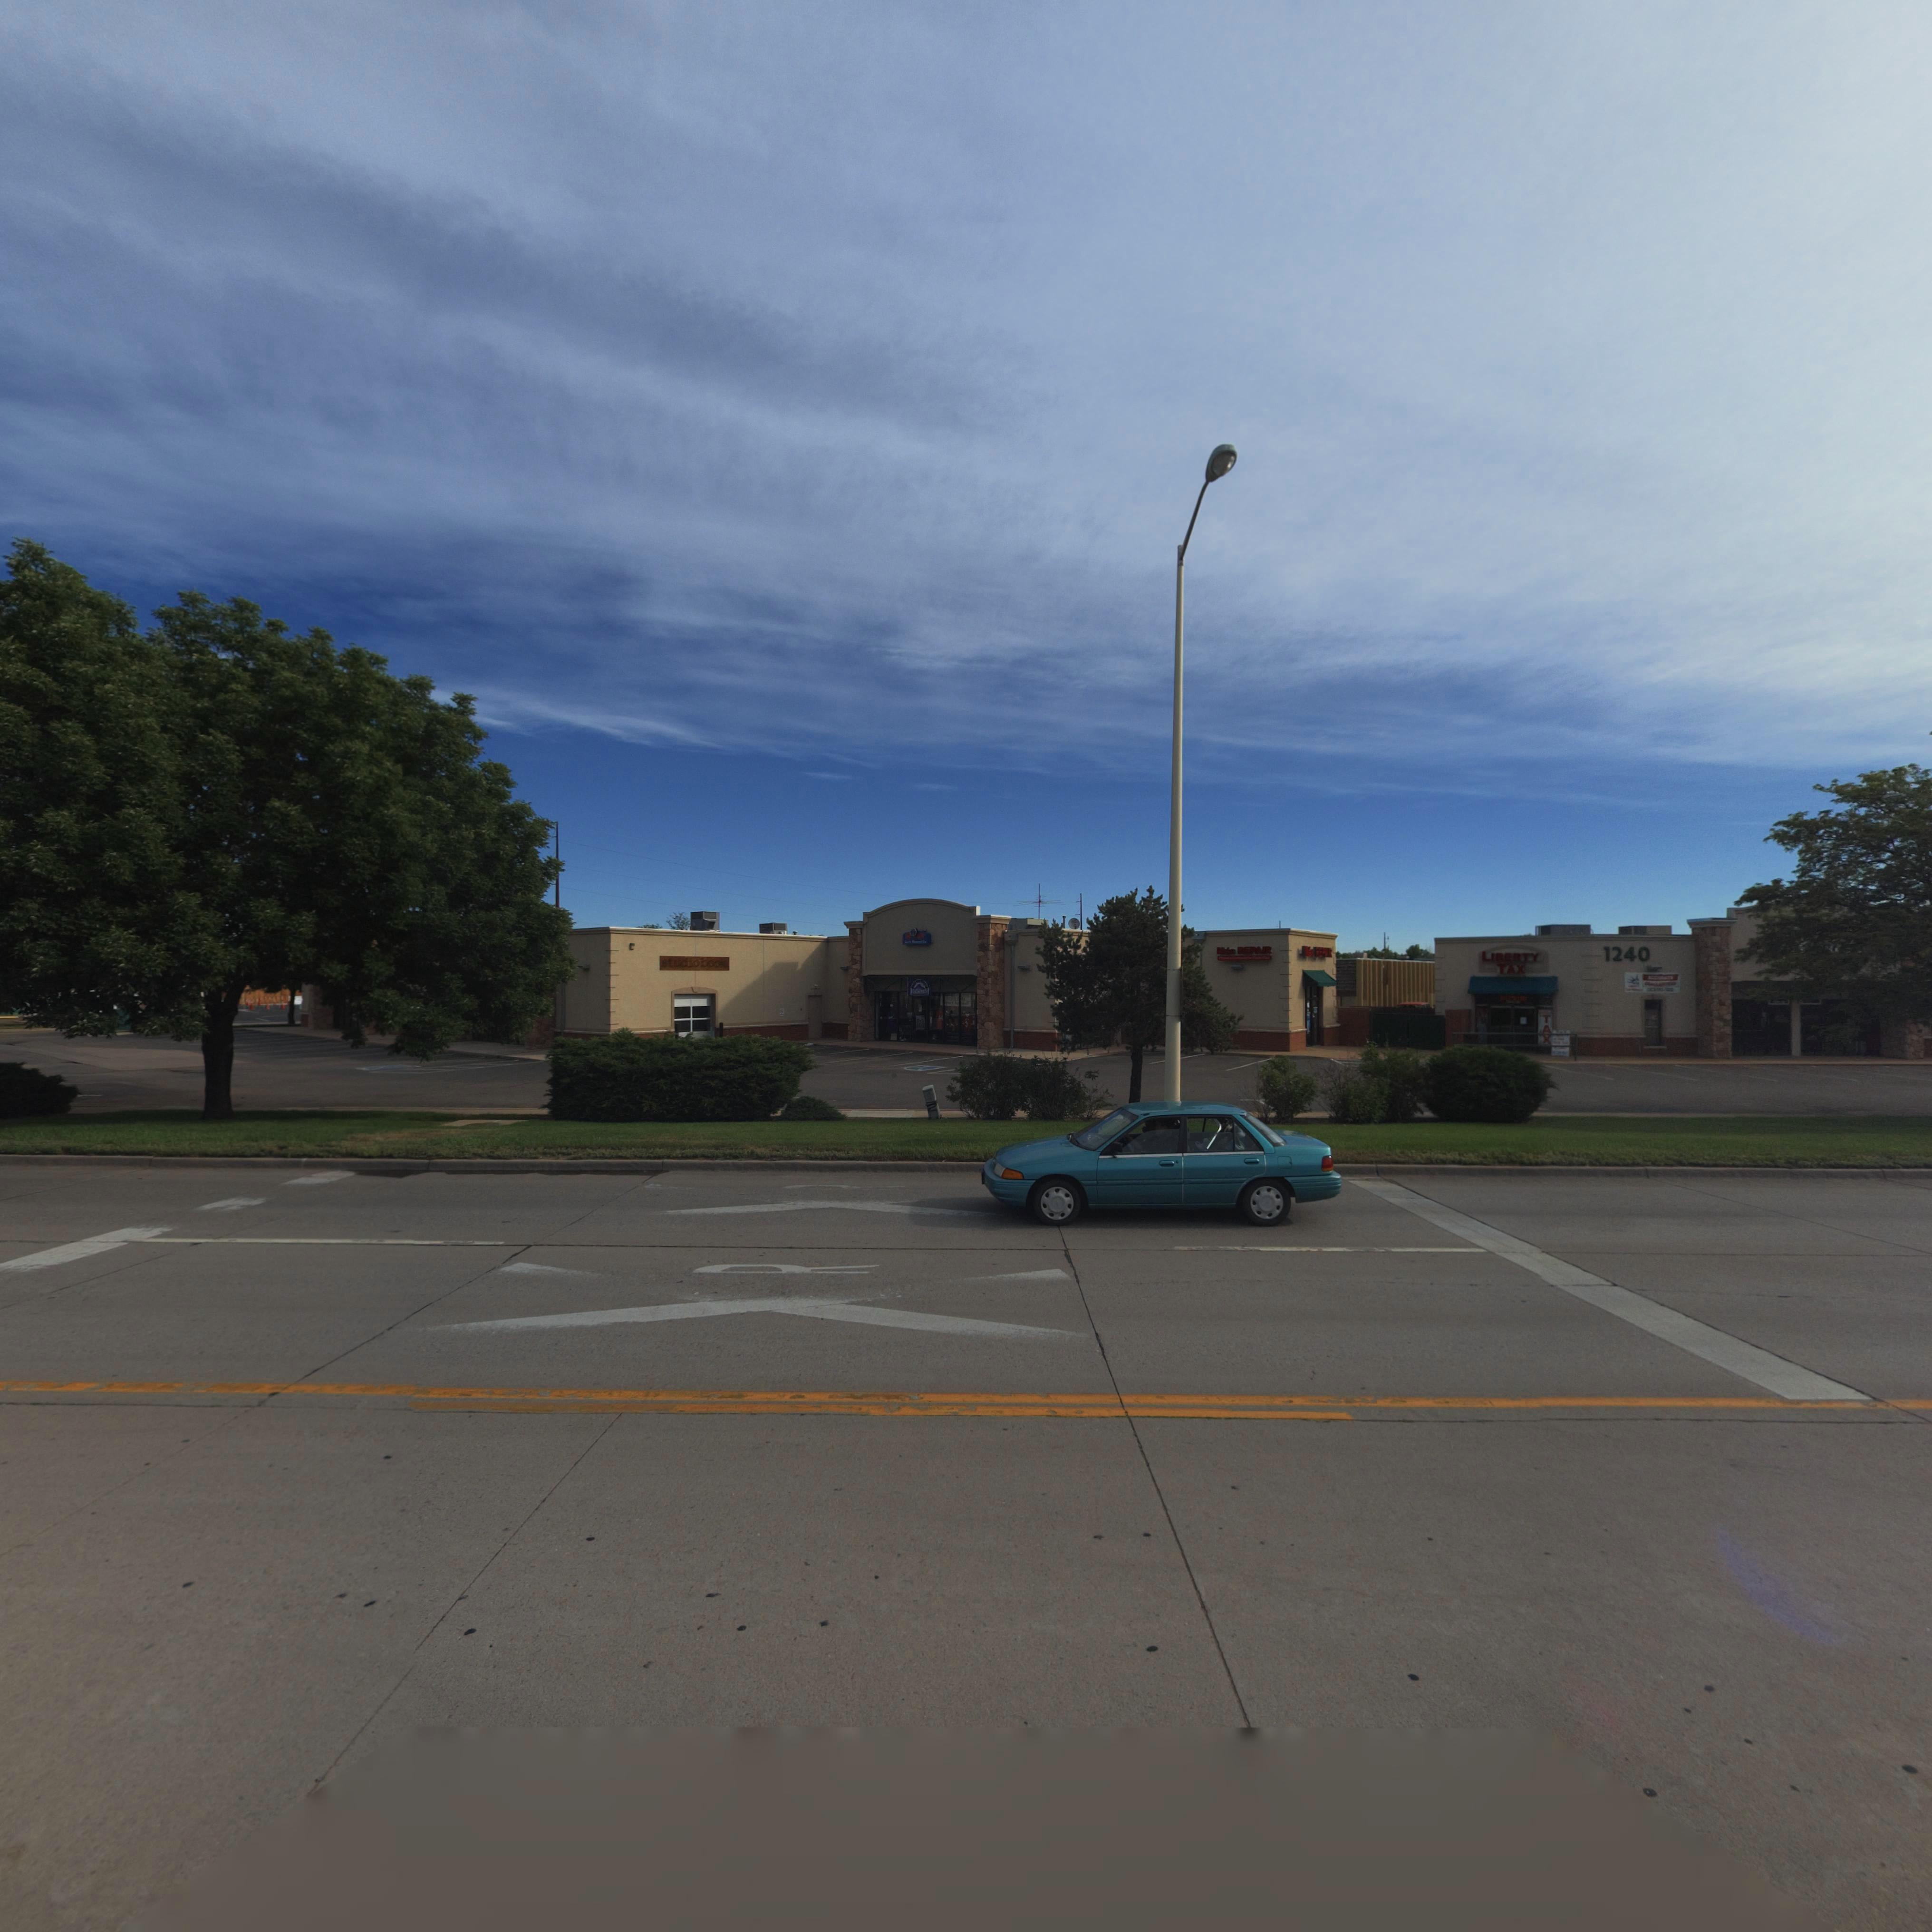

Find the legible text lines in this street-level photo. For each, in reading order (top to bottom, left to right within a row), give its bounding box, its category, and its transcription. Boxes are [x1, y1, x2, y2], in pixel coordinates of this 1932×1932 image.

[1237, 946, 1272, 954] BusinessName: REPAIR
[1480, 949, 1540, 962] BusinessName: LIBERTY
[1602, 945, 1651, 962] StreetNumber: 1240
[659, 956, 728, 968] BusinessName: ***dio boo*
[1495, 962, 1526, 975] BusinessName: TAX